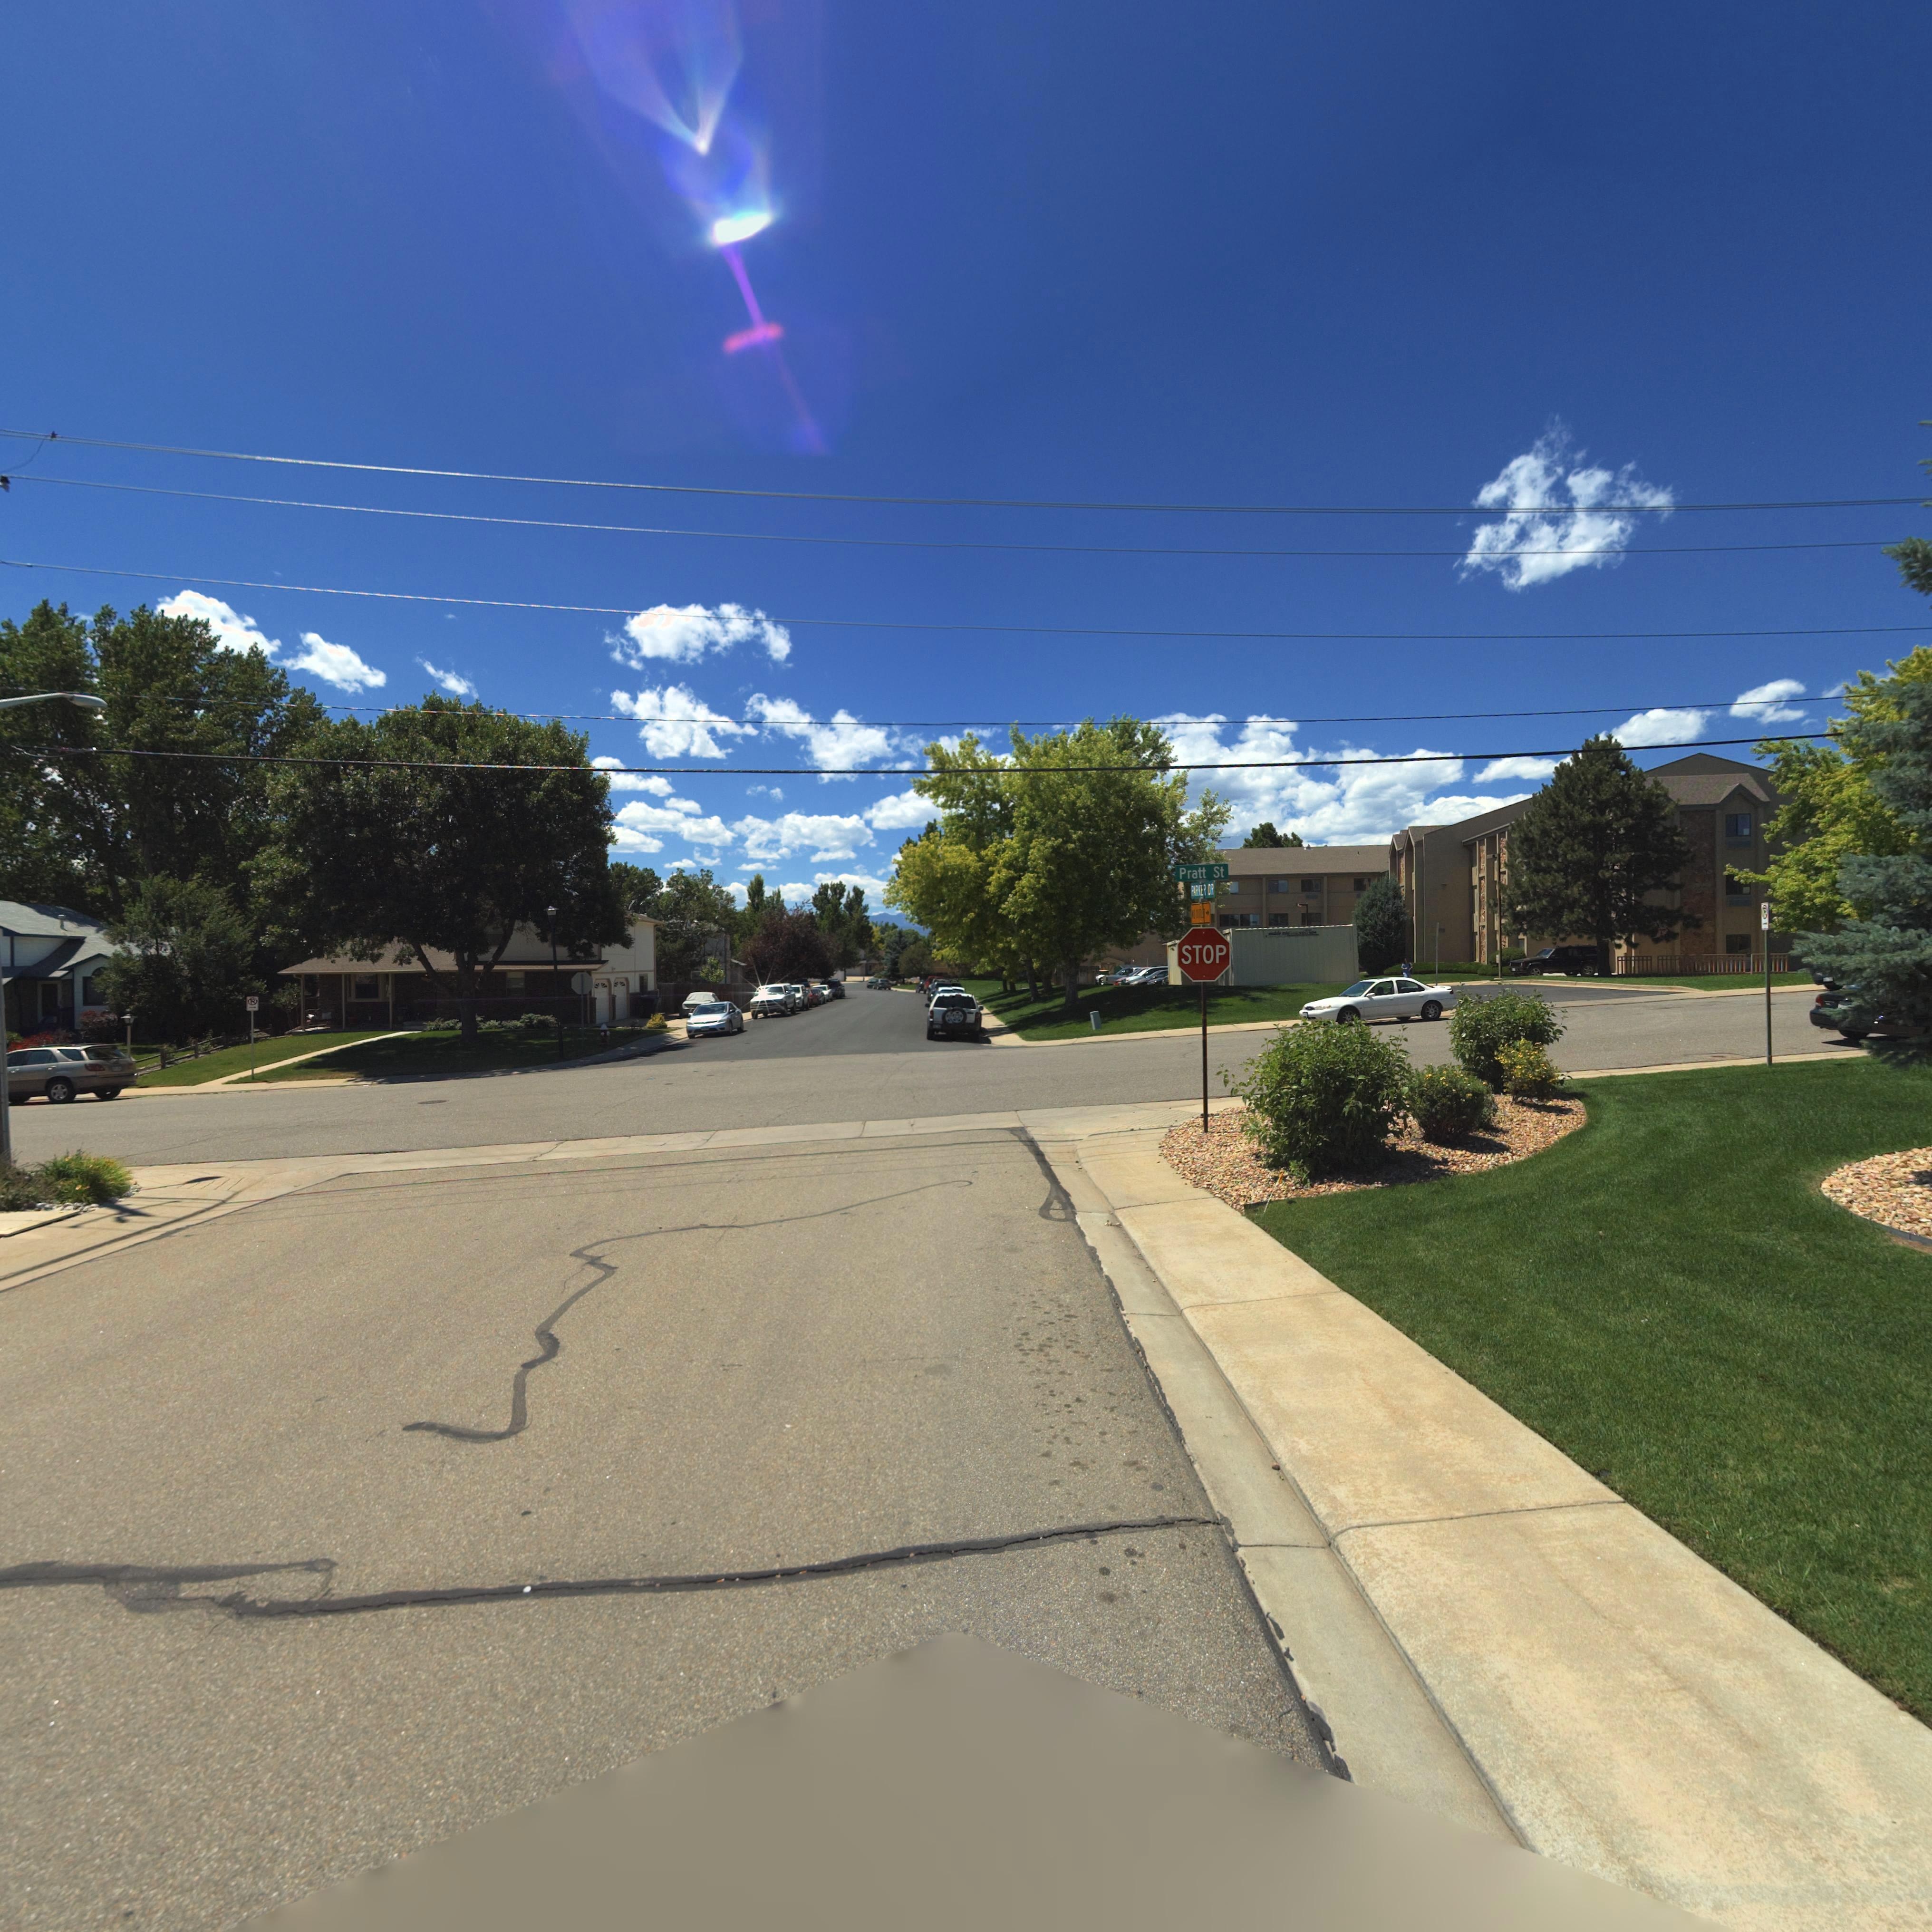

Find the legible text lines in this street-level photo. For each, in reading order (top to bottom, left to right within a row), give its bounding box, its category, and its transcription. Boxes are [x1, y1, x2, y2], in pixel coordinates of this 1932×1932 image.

[1179, 865, 1225, 879] StreetName: Pratt St
[1190, 883, 1214, 897] StreetName: PARKER DR